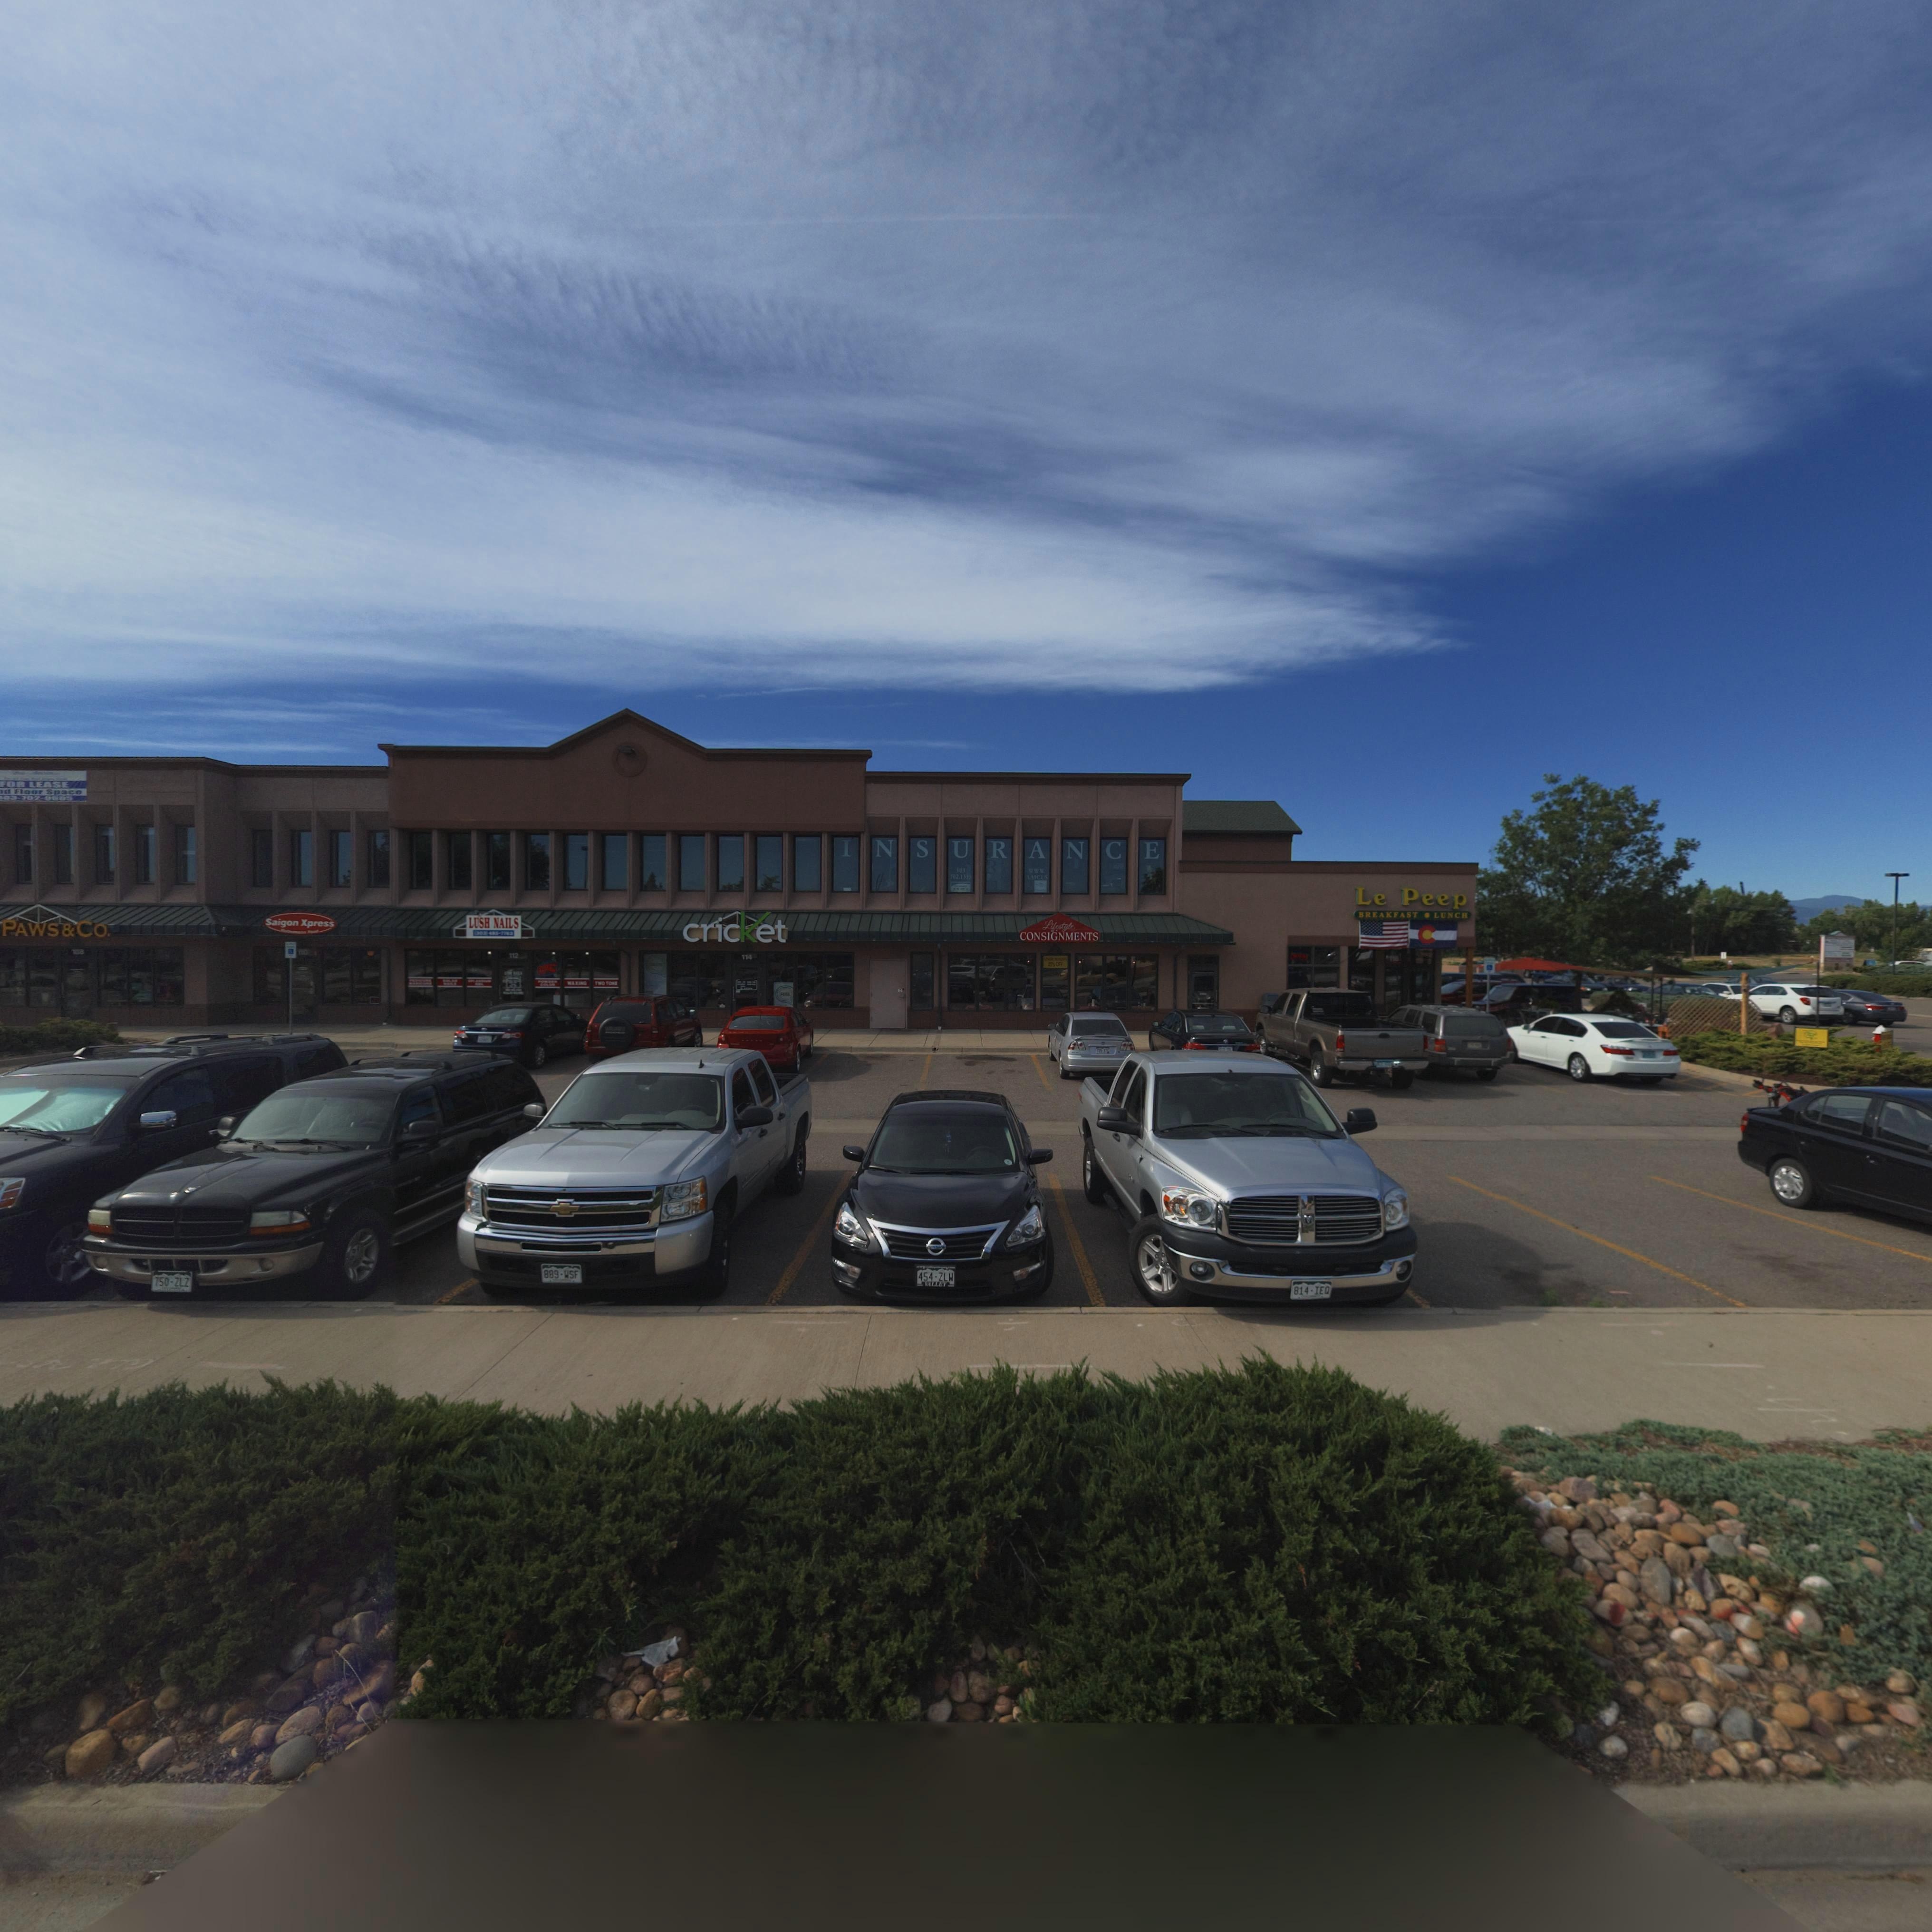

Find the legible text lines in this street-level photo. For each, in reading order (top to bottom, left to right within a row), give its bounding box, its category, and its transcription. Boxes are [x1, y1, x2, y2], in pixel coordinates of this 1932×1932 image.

[1355, 886, 1468, 909] BusinessName: Le Peep
[1359, 911, 1467, 920] BusinessName: BREAKFASTS DLL NCH
[0, 918, 111, 939] BusinessName: PAWS*CO.
[264, 918, 335, 927] BusinessName: Saigon Xpress
[469, 917, 519, 928] BusinessName: LUSH NAILS
[681, 910, 786, 944] BusinessName: cricket
[1042, 919, 1075, 931] BusinessName: Lifestyle
[1019, 931, 1099, 941] BusinessName: CONSIGNMENTS